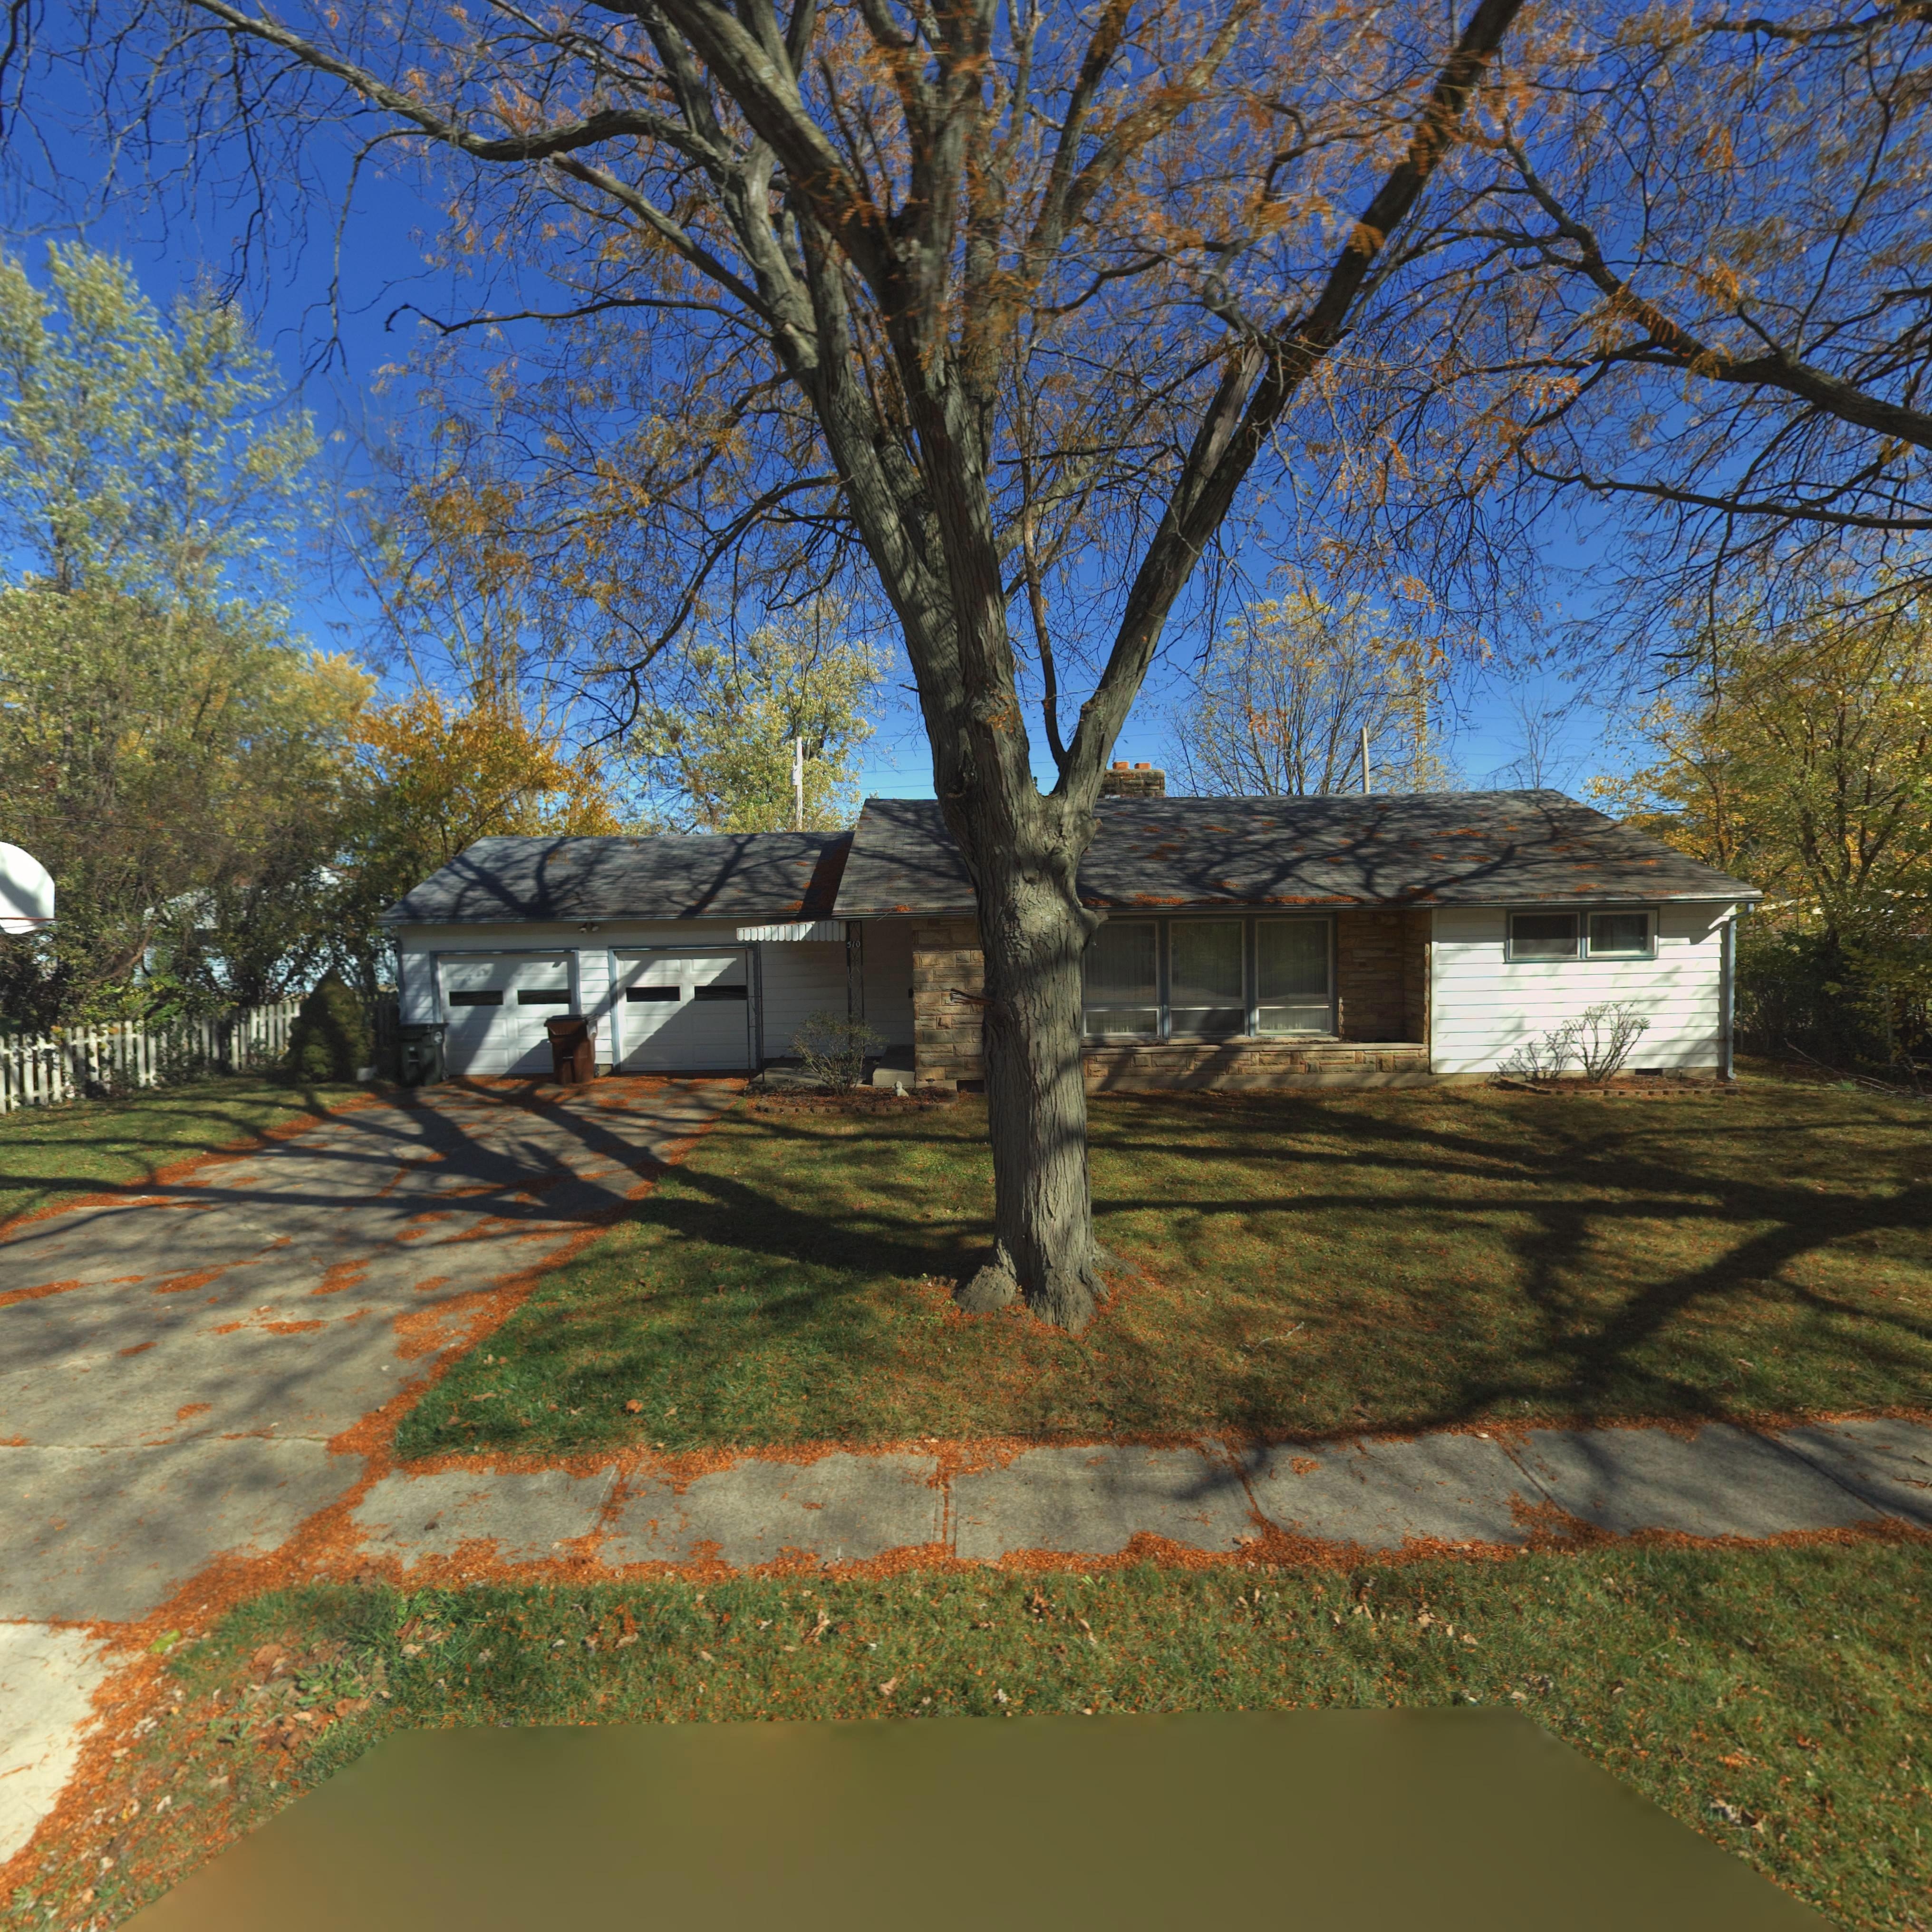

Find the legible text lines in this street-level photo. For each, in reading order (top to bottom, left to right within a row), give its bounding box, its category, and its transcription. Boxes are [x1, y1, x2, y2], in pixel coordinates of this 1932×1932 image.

[846, 940, 861, 949] StreetNumber: 510